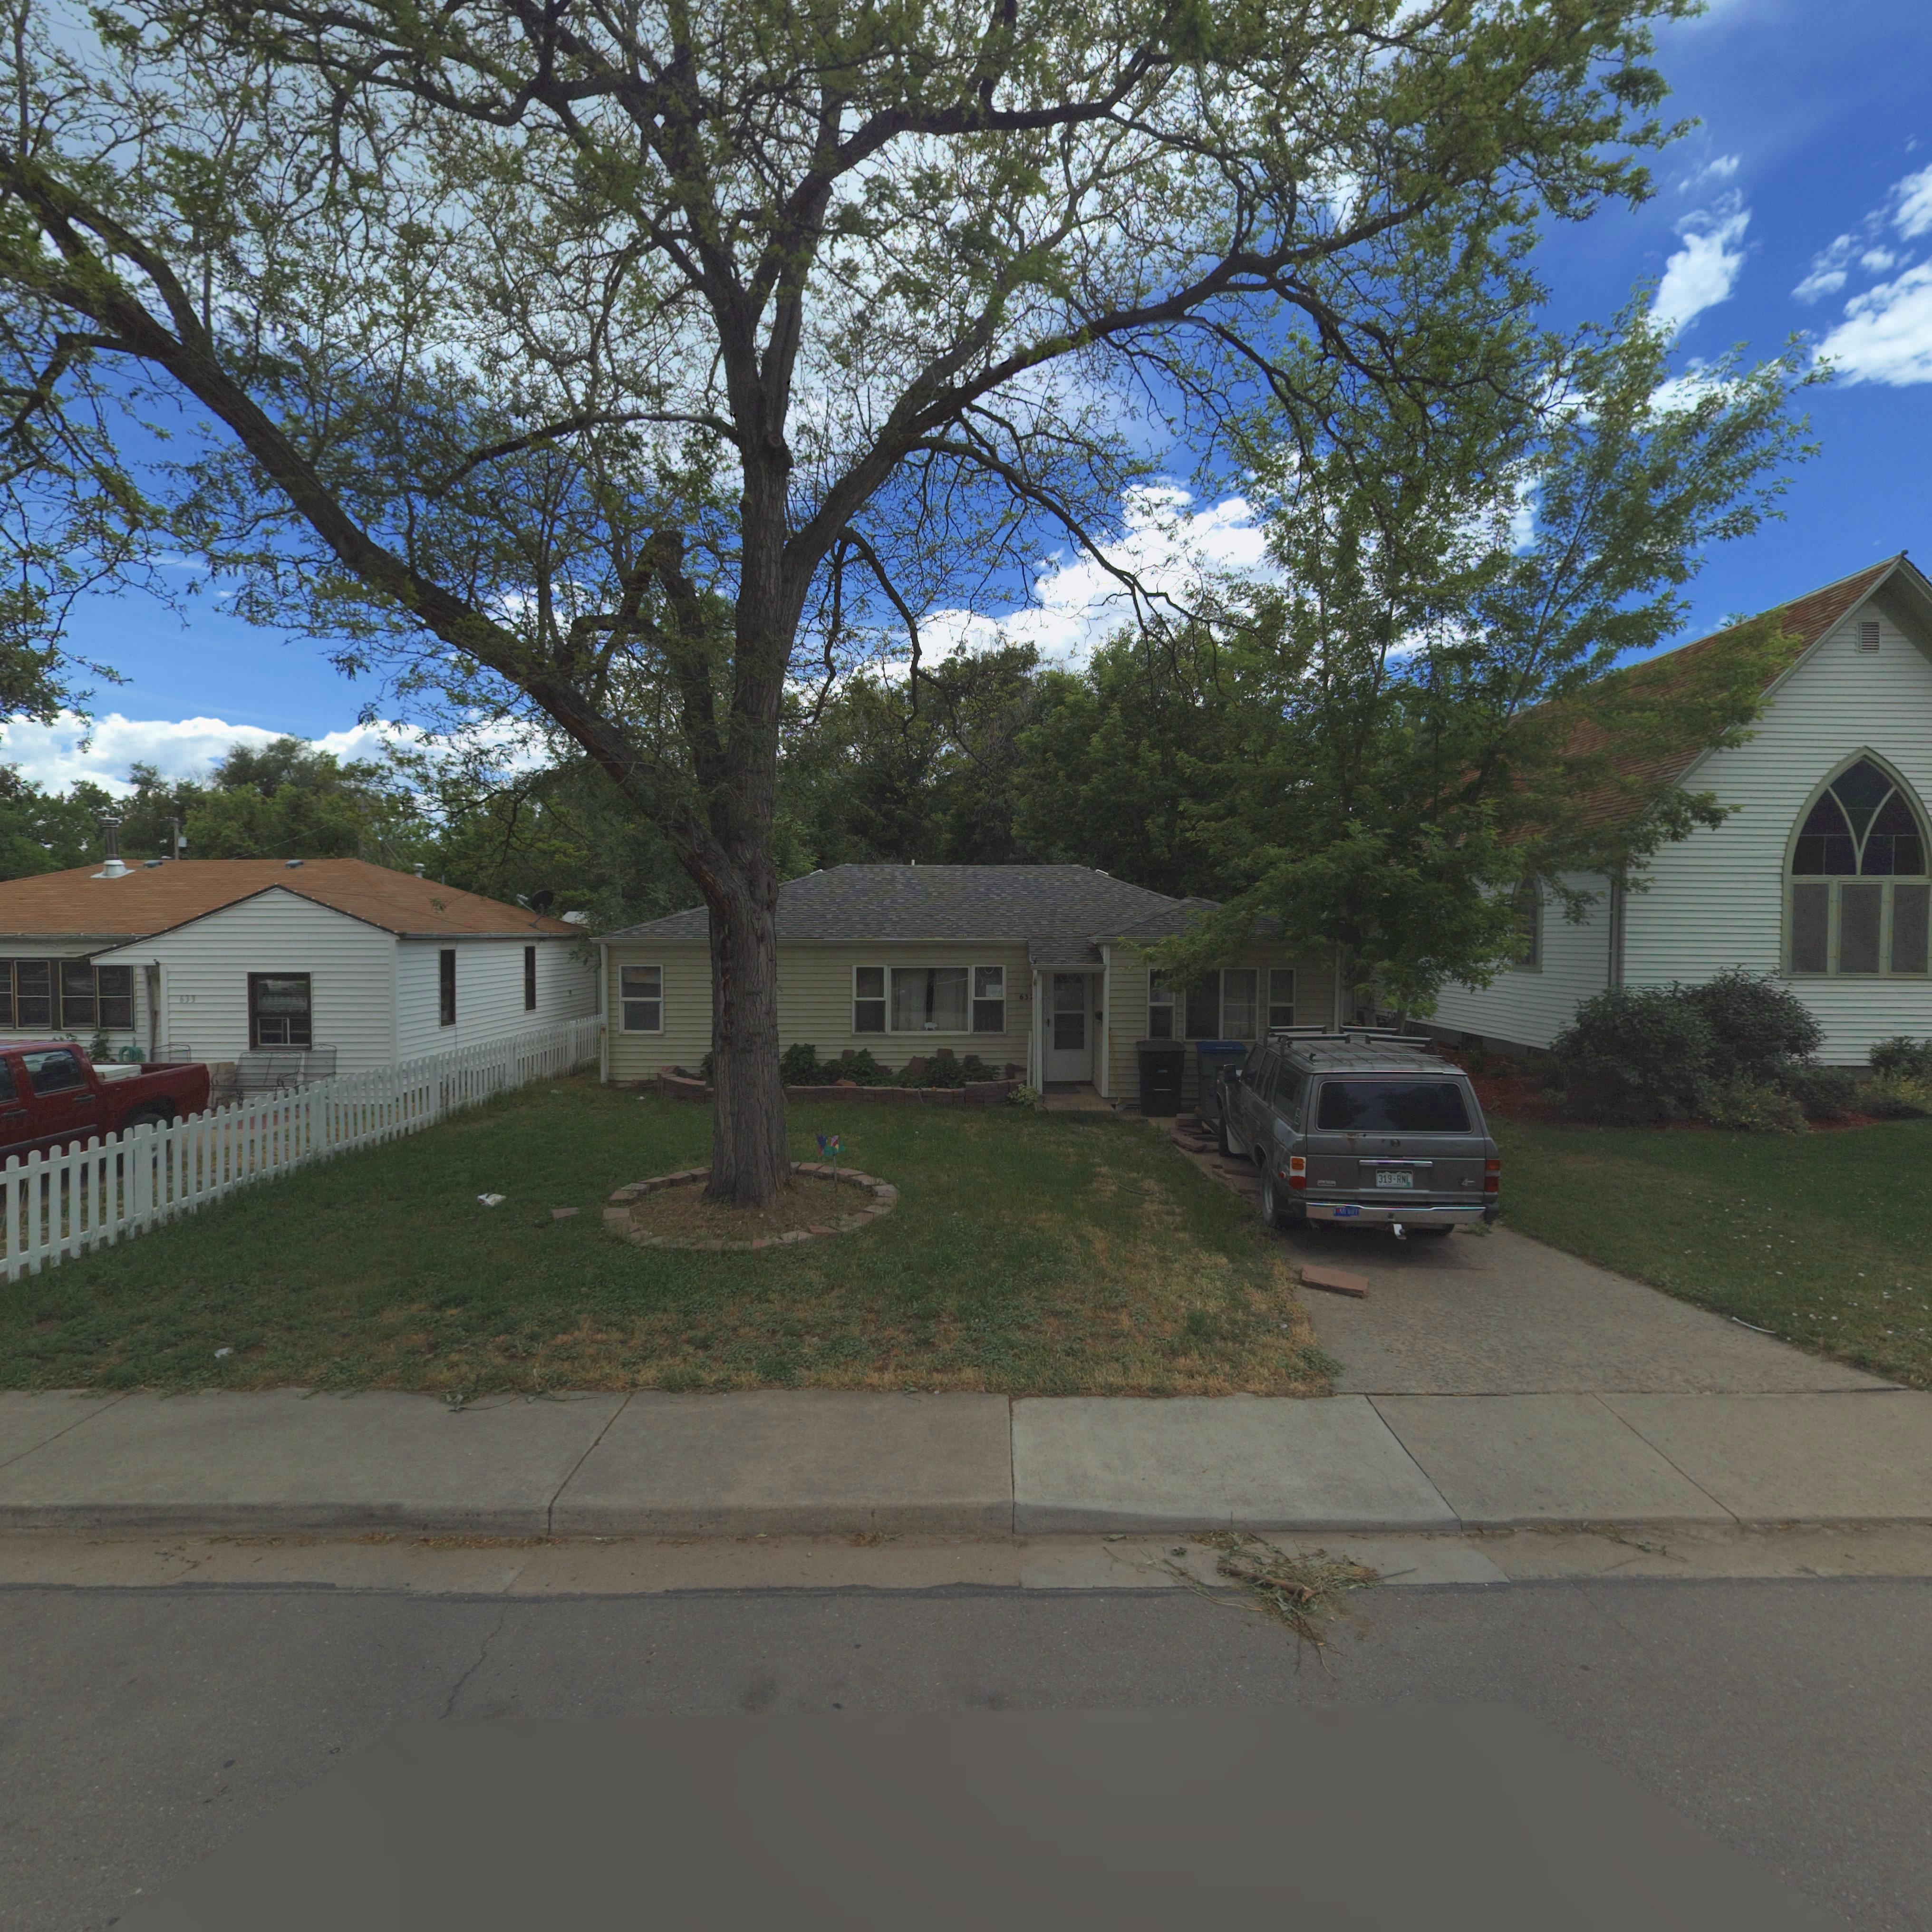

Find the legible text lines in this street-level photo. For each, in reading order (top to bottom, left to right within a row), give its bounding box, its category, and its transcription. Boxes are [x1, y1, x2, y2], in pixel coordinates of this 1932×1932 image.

[179, 995, 195, 1003] StreetNumber: 633
[1019, 994, 1034, 1000] StreetNumber: 63*